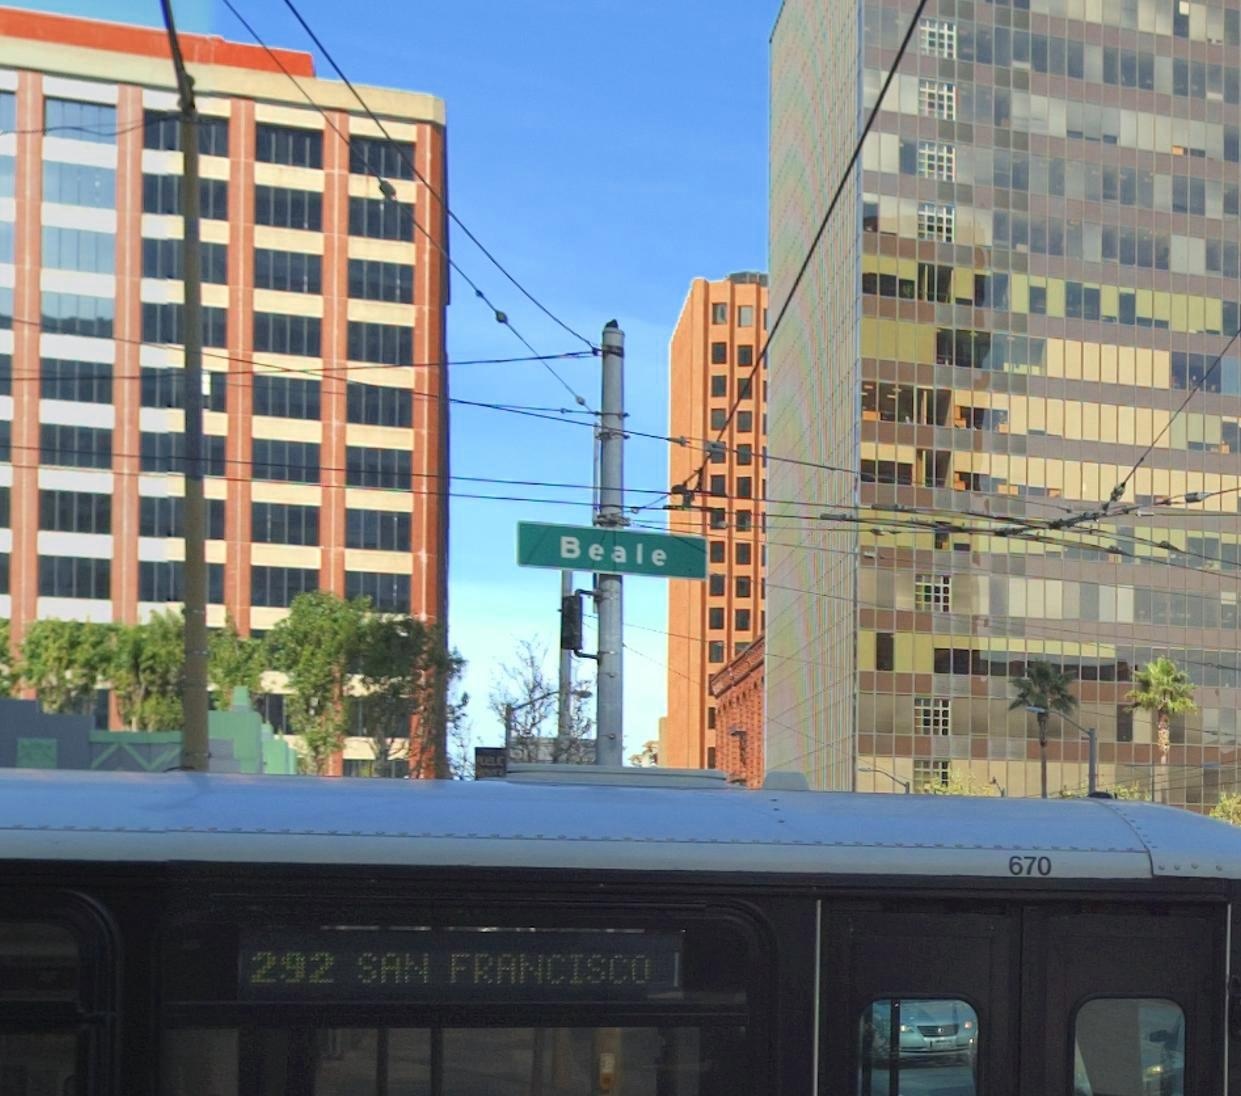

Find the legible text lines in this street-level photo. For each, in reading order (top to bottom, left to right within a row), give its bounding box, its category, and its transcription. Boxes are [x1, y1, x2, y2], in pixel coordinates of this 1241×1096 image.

[558, 533, 670, 571] StreetName: Beale
[1005, 853, 1056, 880] None: 670
[245, 946, 655, 990] None: 292 SAN FRANCISCO